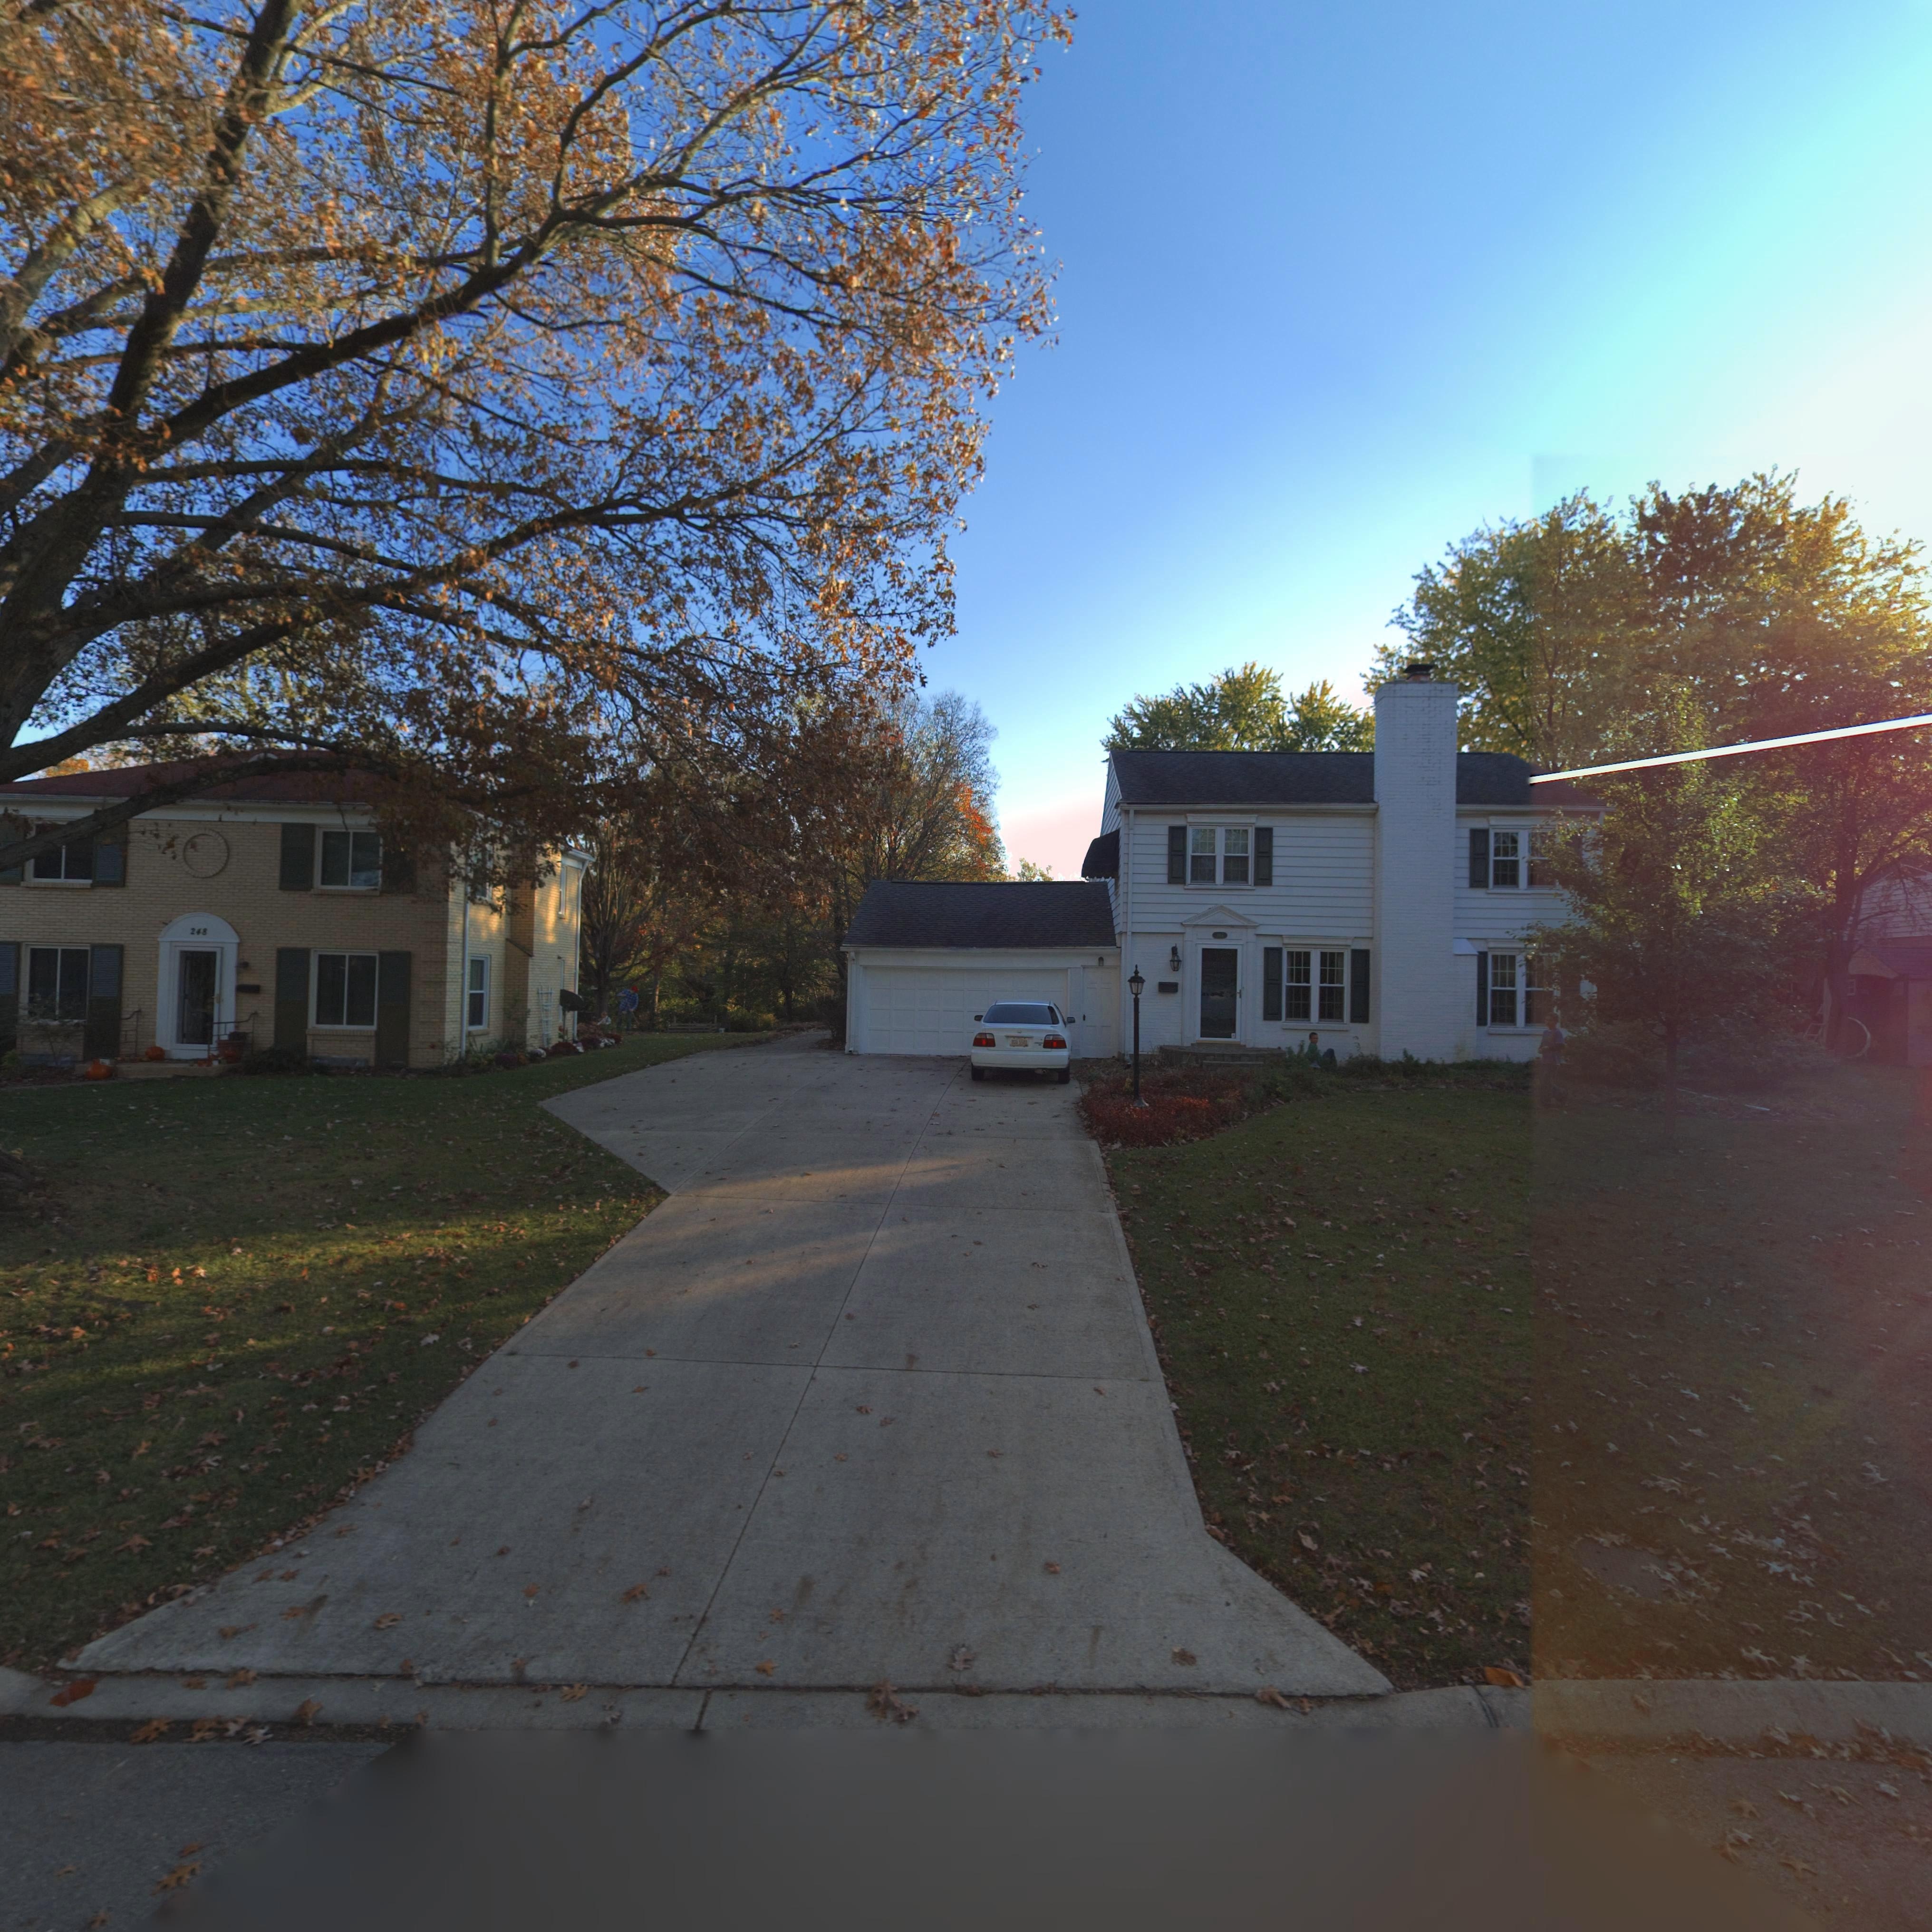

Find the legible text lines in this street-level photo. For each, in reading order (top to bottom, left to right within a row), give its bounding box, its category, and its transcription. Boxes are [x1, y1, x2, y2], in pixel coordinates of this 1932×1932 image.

[190, 927, 208, 936] StreetNumber: 248